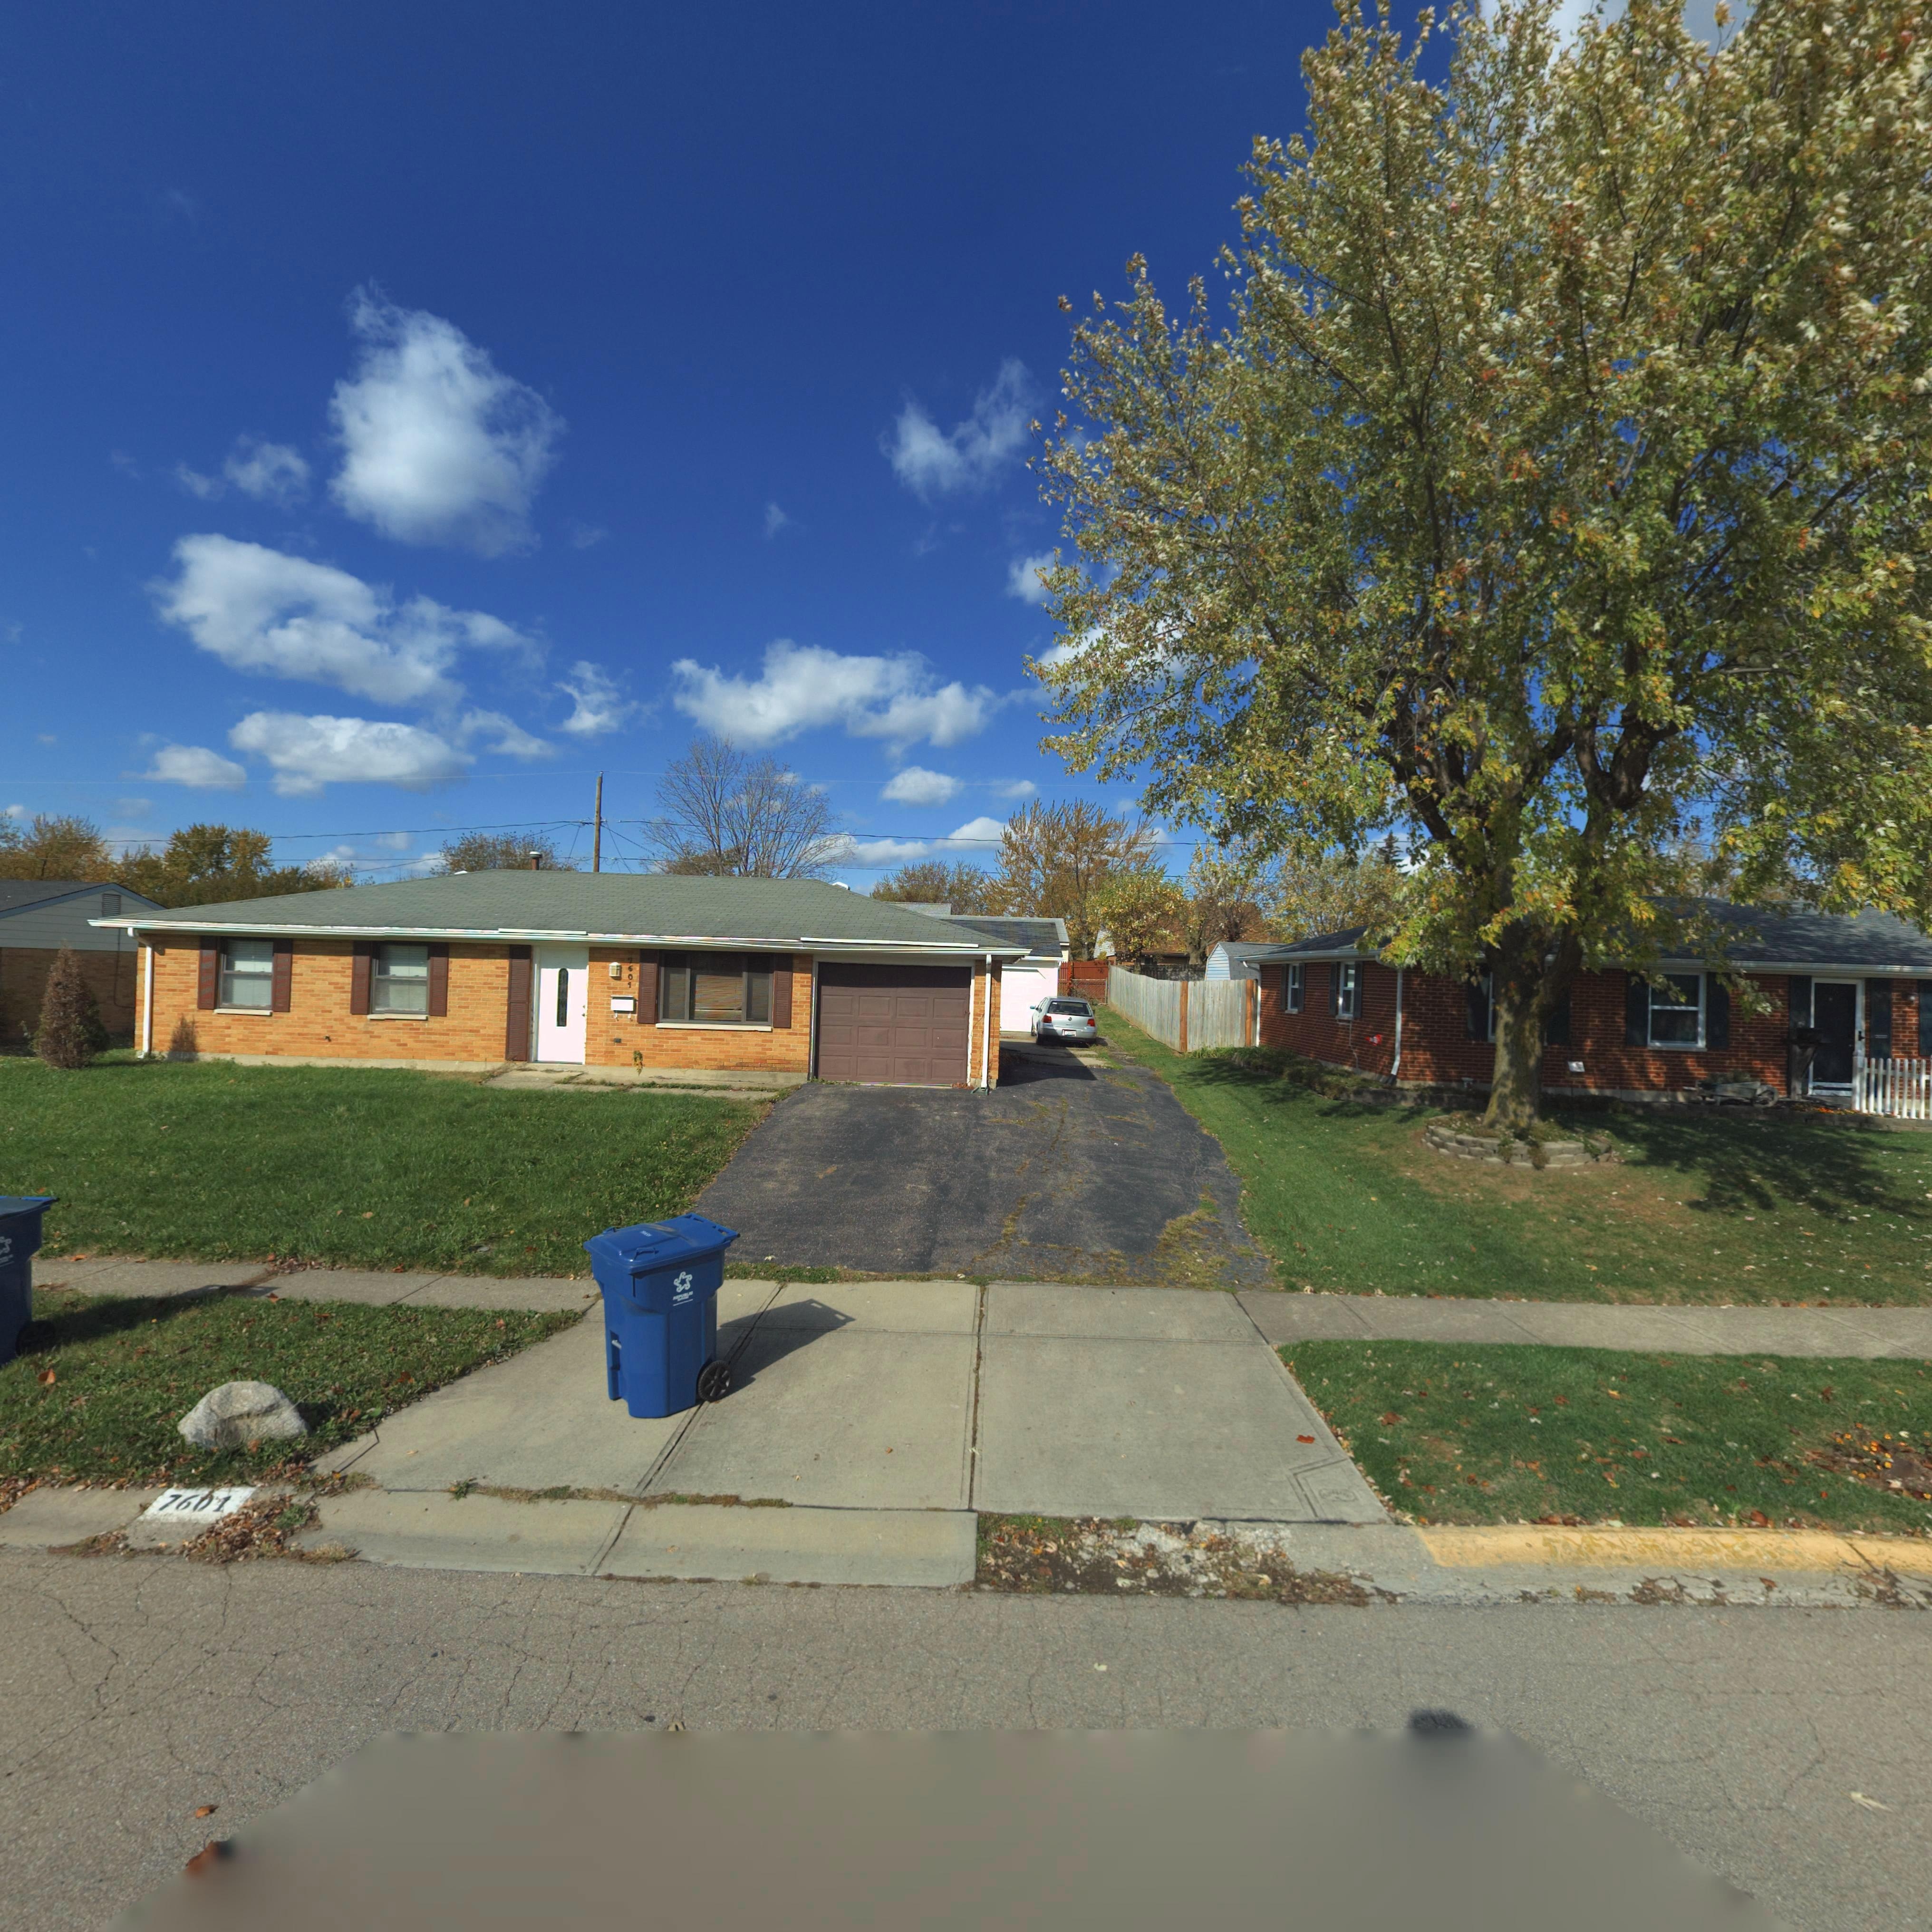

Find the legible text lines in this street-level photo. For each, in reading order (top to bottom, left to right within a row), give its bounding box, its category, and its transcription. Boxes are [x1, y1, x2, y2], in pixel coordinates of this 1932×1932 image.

[627, 956, 634, 988] StreetNumber: 7601
[156, 1494, 234, 1514] StreetNumber: 7601